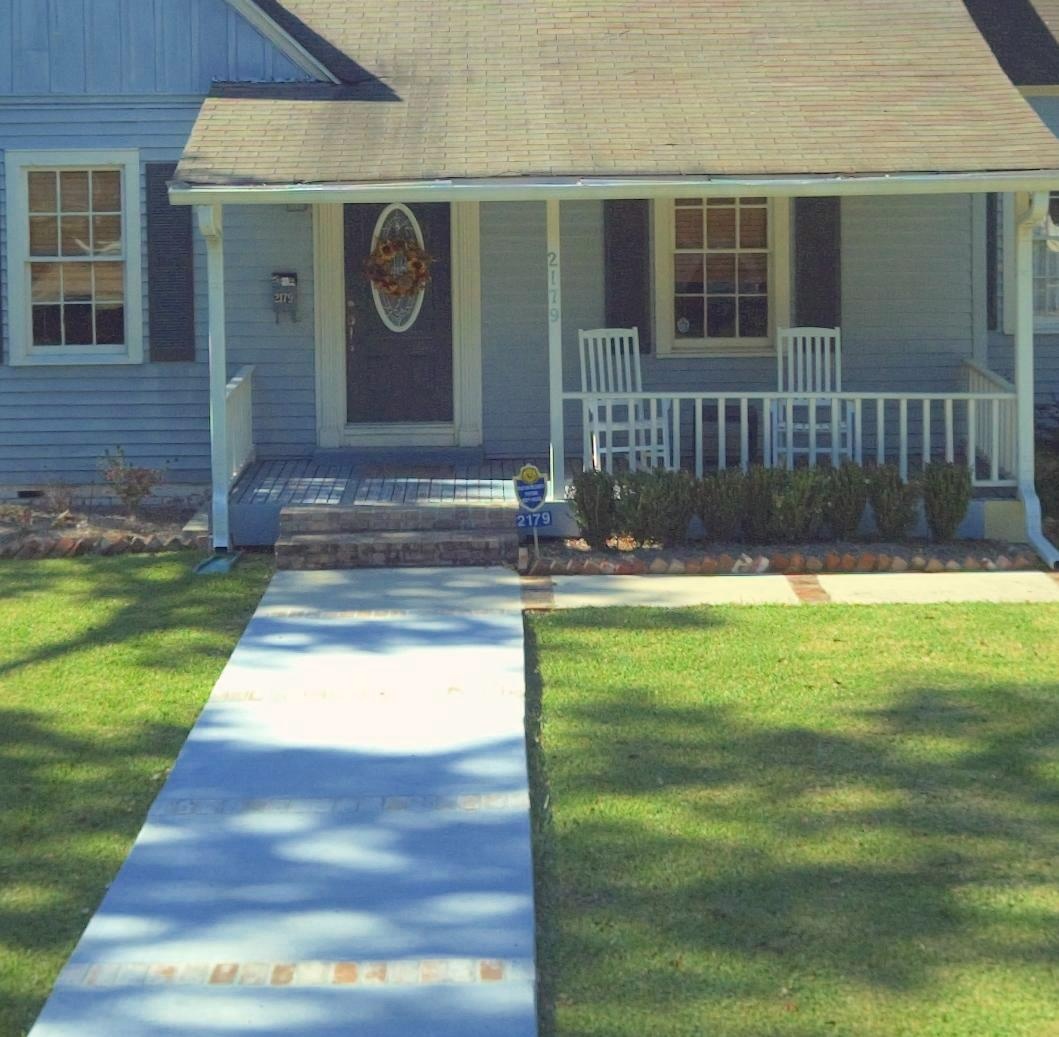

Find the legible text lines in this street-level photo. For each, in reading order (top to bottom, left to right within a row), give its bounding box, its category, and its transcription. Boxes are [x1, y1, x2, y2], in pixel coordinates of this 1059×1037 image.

[545, 249, 562, 325] StreetNumber: 2179
[272, 291, 295, 305] StreetNumber: 2179
[515, 509, 552, 530] StreetNumber: 2179